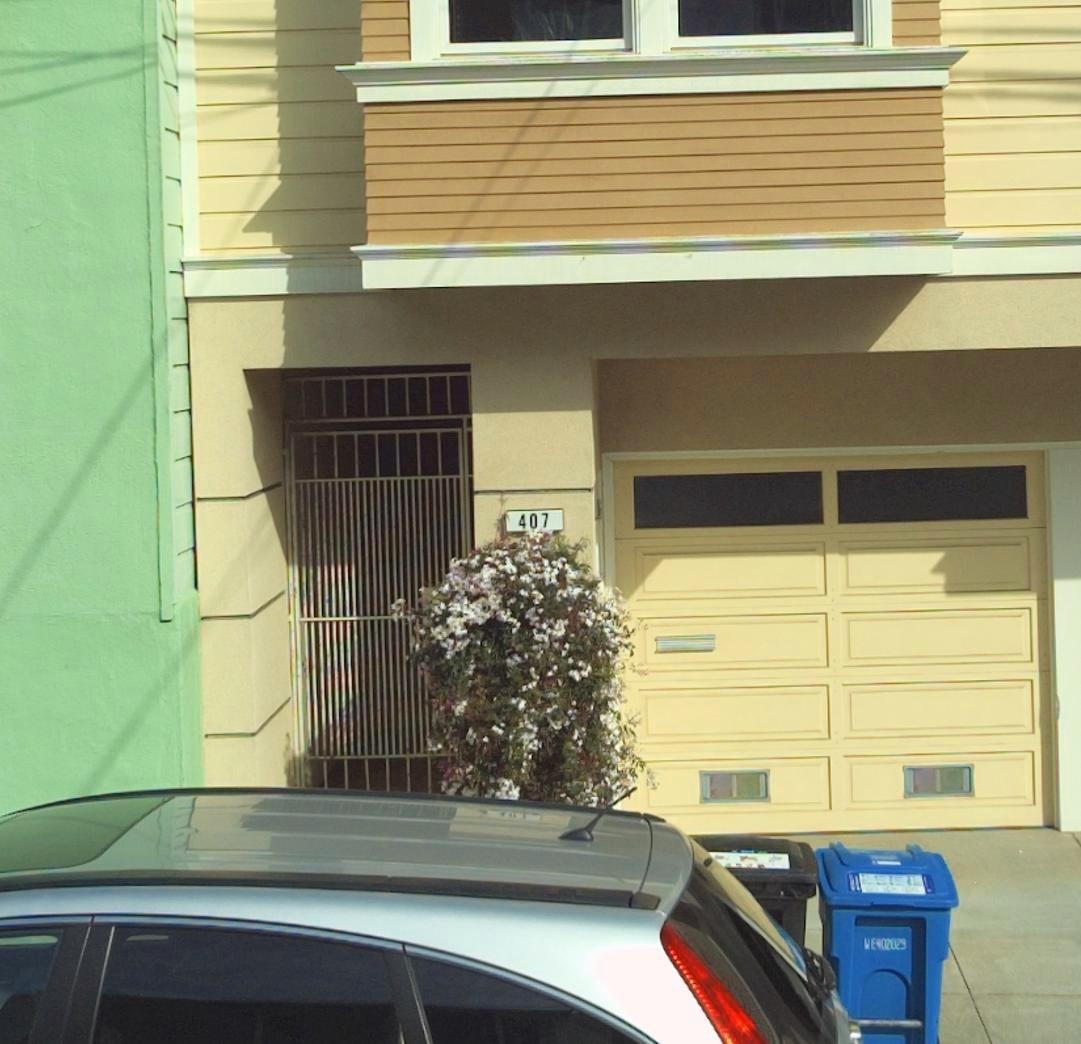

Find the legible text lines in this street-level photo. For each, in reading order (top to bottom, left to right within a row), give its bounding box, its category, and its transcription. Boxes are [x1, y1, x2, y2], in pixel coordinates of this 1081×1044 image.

[518, 513, 549, 530] StreetNumber: 407
[863, 936, 907, 952] None: WE402029